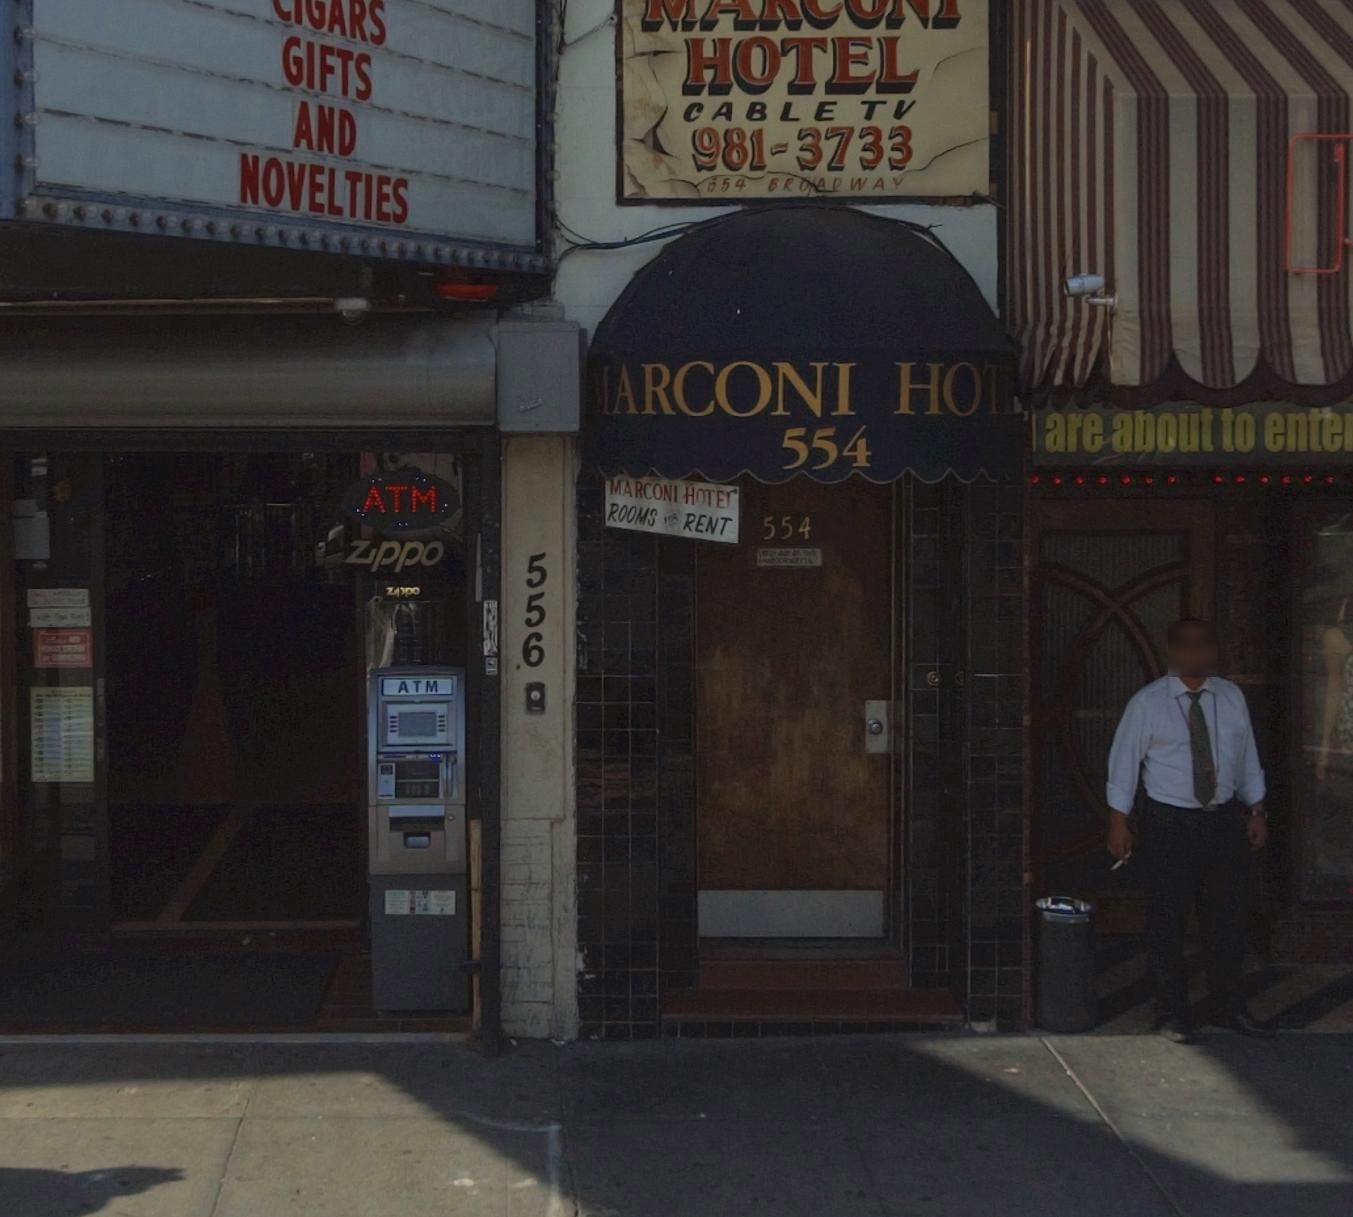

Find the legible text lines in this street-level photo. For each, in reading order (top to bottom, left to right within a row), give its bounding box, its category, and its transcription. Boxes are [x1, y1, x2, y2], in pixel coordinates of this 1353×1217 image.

[279, 32, 374, 103] None: GIFTS
[682, 35, 921, 88] None: HOTEL
[291, 98, 359, 158] None: AND
[682, 98, 920, 123] None: CABLE TV
[691, 125, 913, 171] None: 981-3733
[237, 150, 410, 228] None: NOVELTIES
[703, 174, 746, 194] StreetNumber: 554
[766, 173, 904, 192] StreetName: BROADWAY
[585, 361, 1008, 419] BusinessName: MARCONI HOT
[779, 424, 873, 470] StreetNumber: 554
[1043, 405, 1345, 455] None: are about to ente
[359, 482, 437, 515] None: ATM
[608, 475, 732, 512] BusinessName: MARCONI HOTEl
[604, 501, 736, 539] None: ROOMS * RENT
[759, 512, 814, 543] StreetNumber: 554
[345, 534, 443, 572] BusinessName: Zippo
[384, 583, 420, 598] BusinessName: z**po
[520, 547, 549, 671] StreetNumber: 556
[397, 679, 439, 694] None: ATM